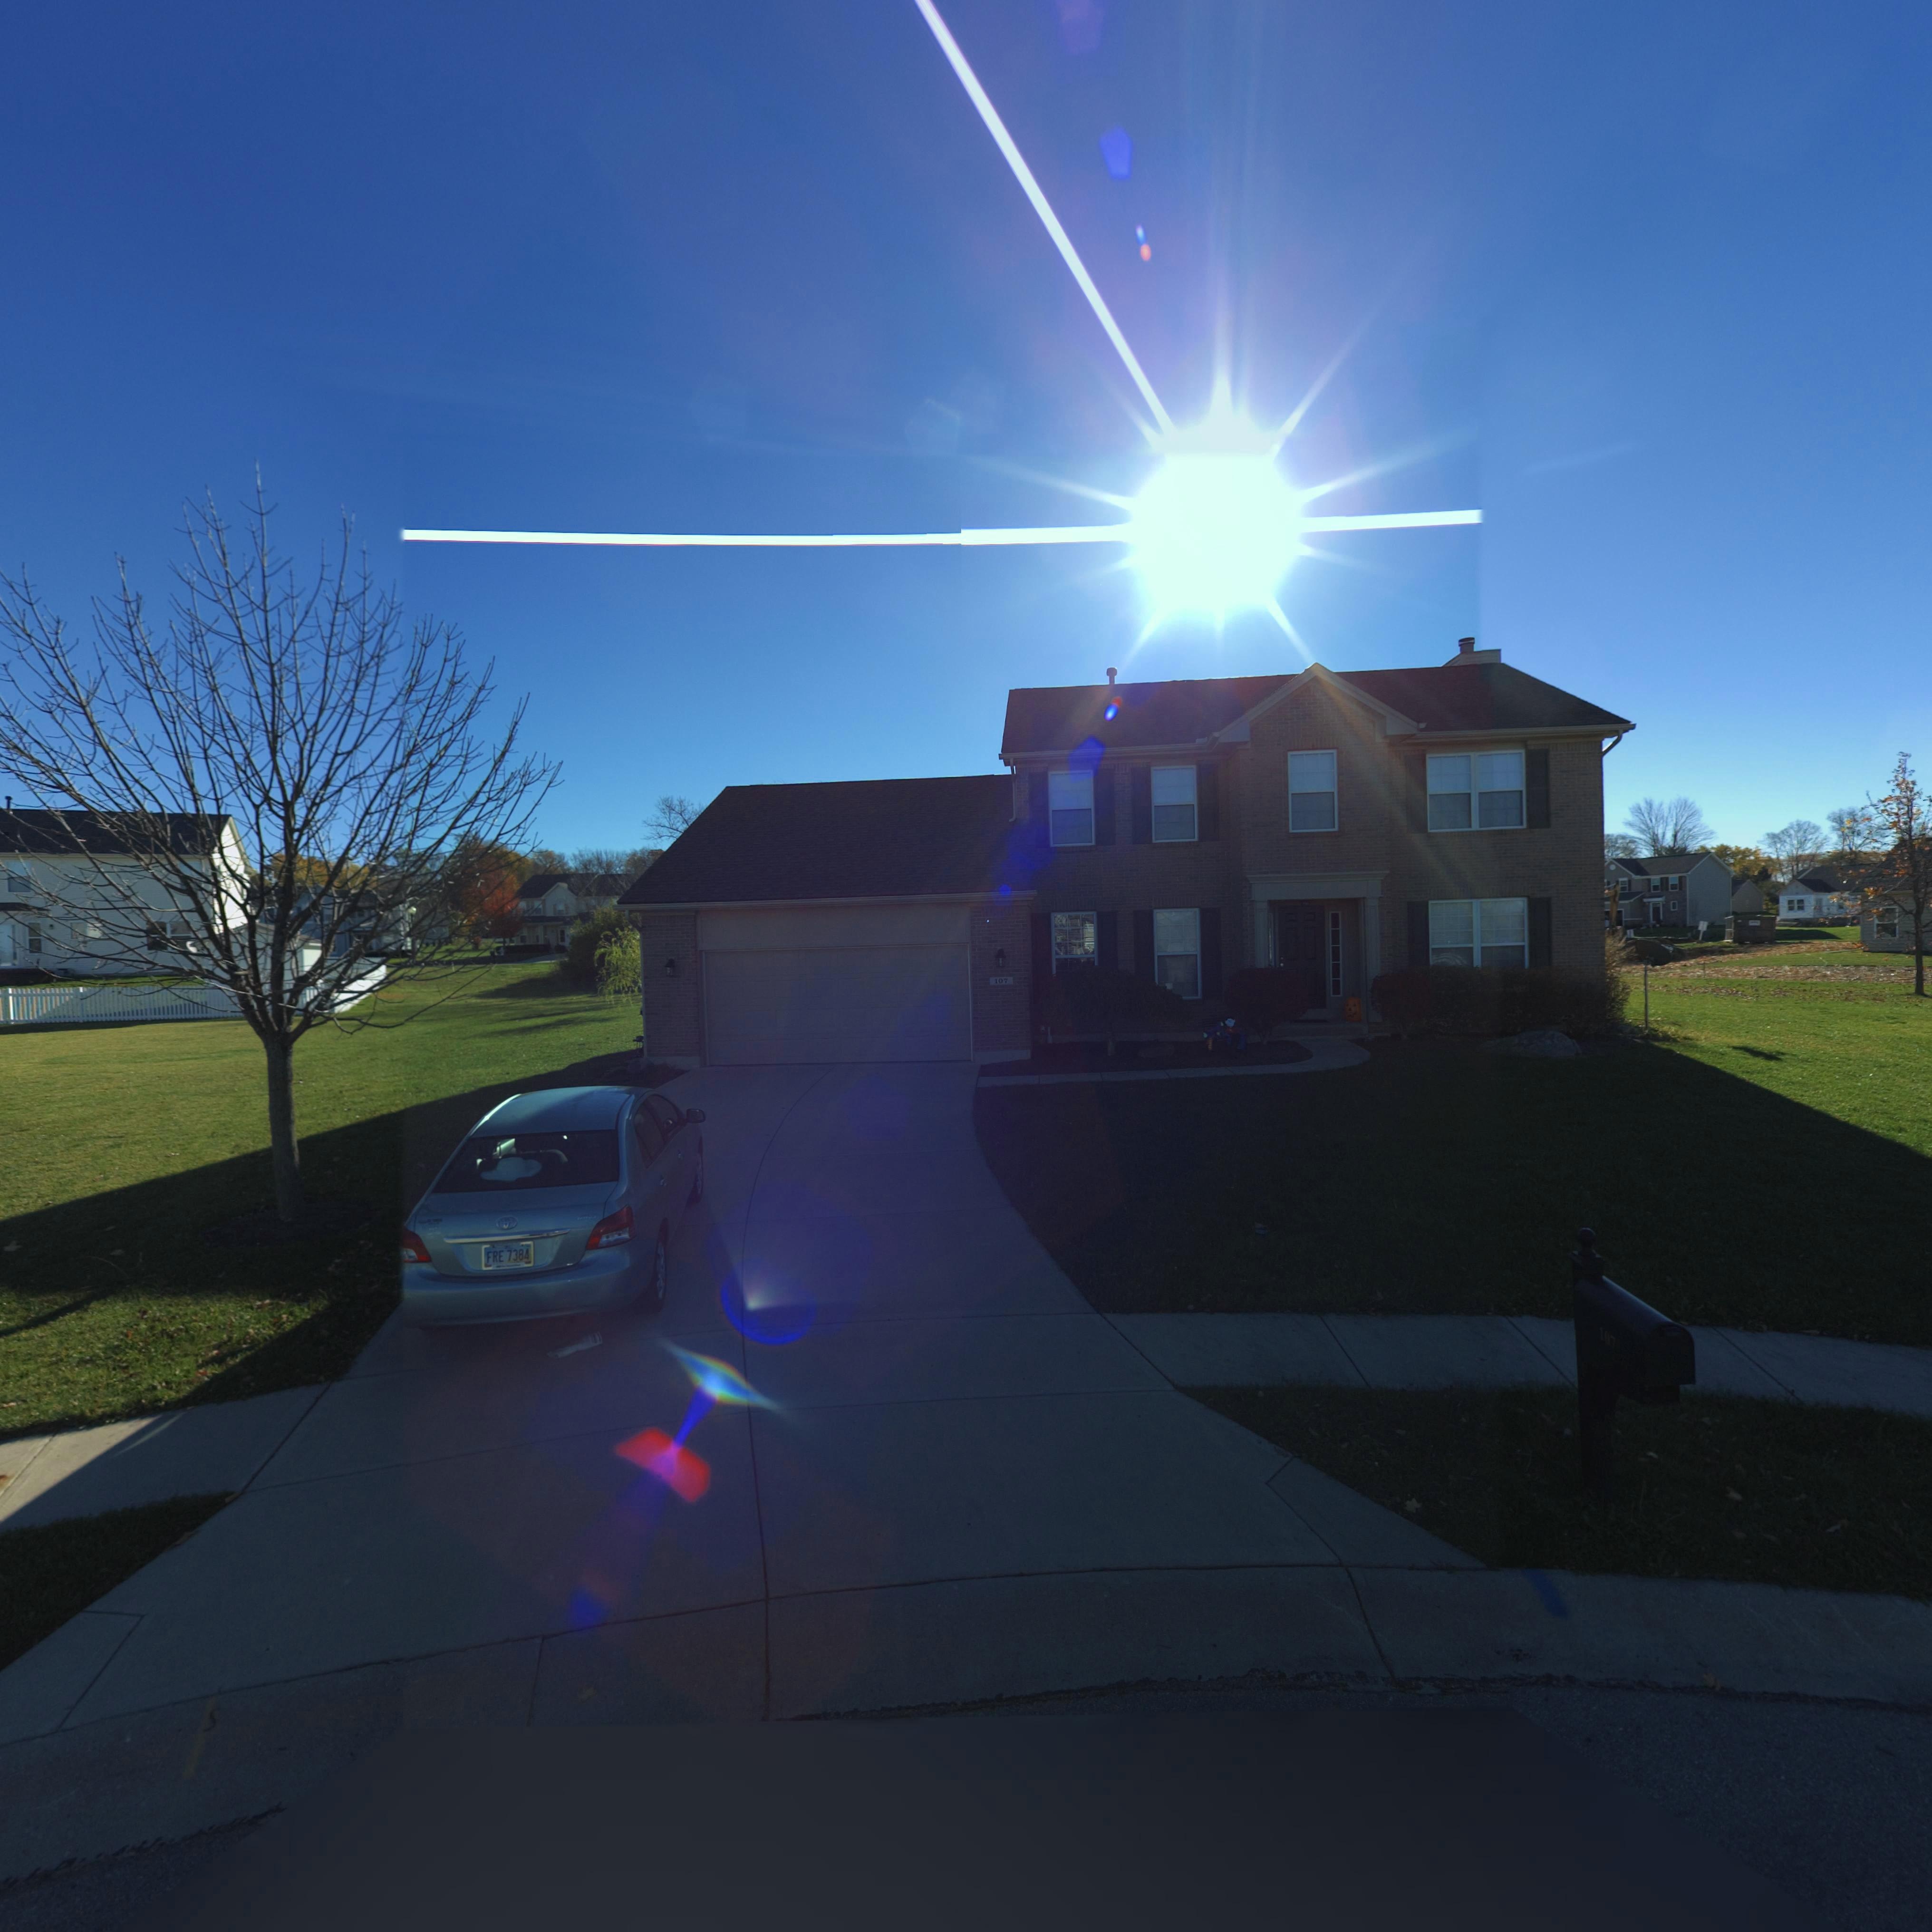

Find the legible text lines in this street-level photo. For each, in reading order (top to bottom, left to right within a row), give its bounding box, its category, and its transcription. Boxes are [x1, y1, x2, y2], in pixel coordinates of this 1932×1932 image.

[994, 977, 1009, 985] StreetNumber: 107
[484, 1246, 531, 1265] None: FRE 7384
[1598, 1324, 1617, 1351] StreetNumber: 107